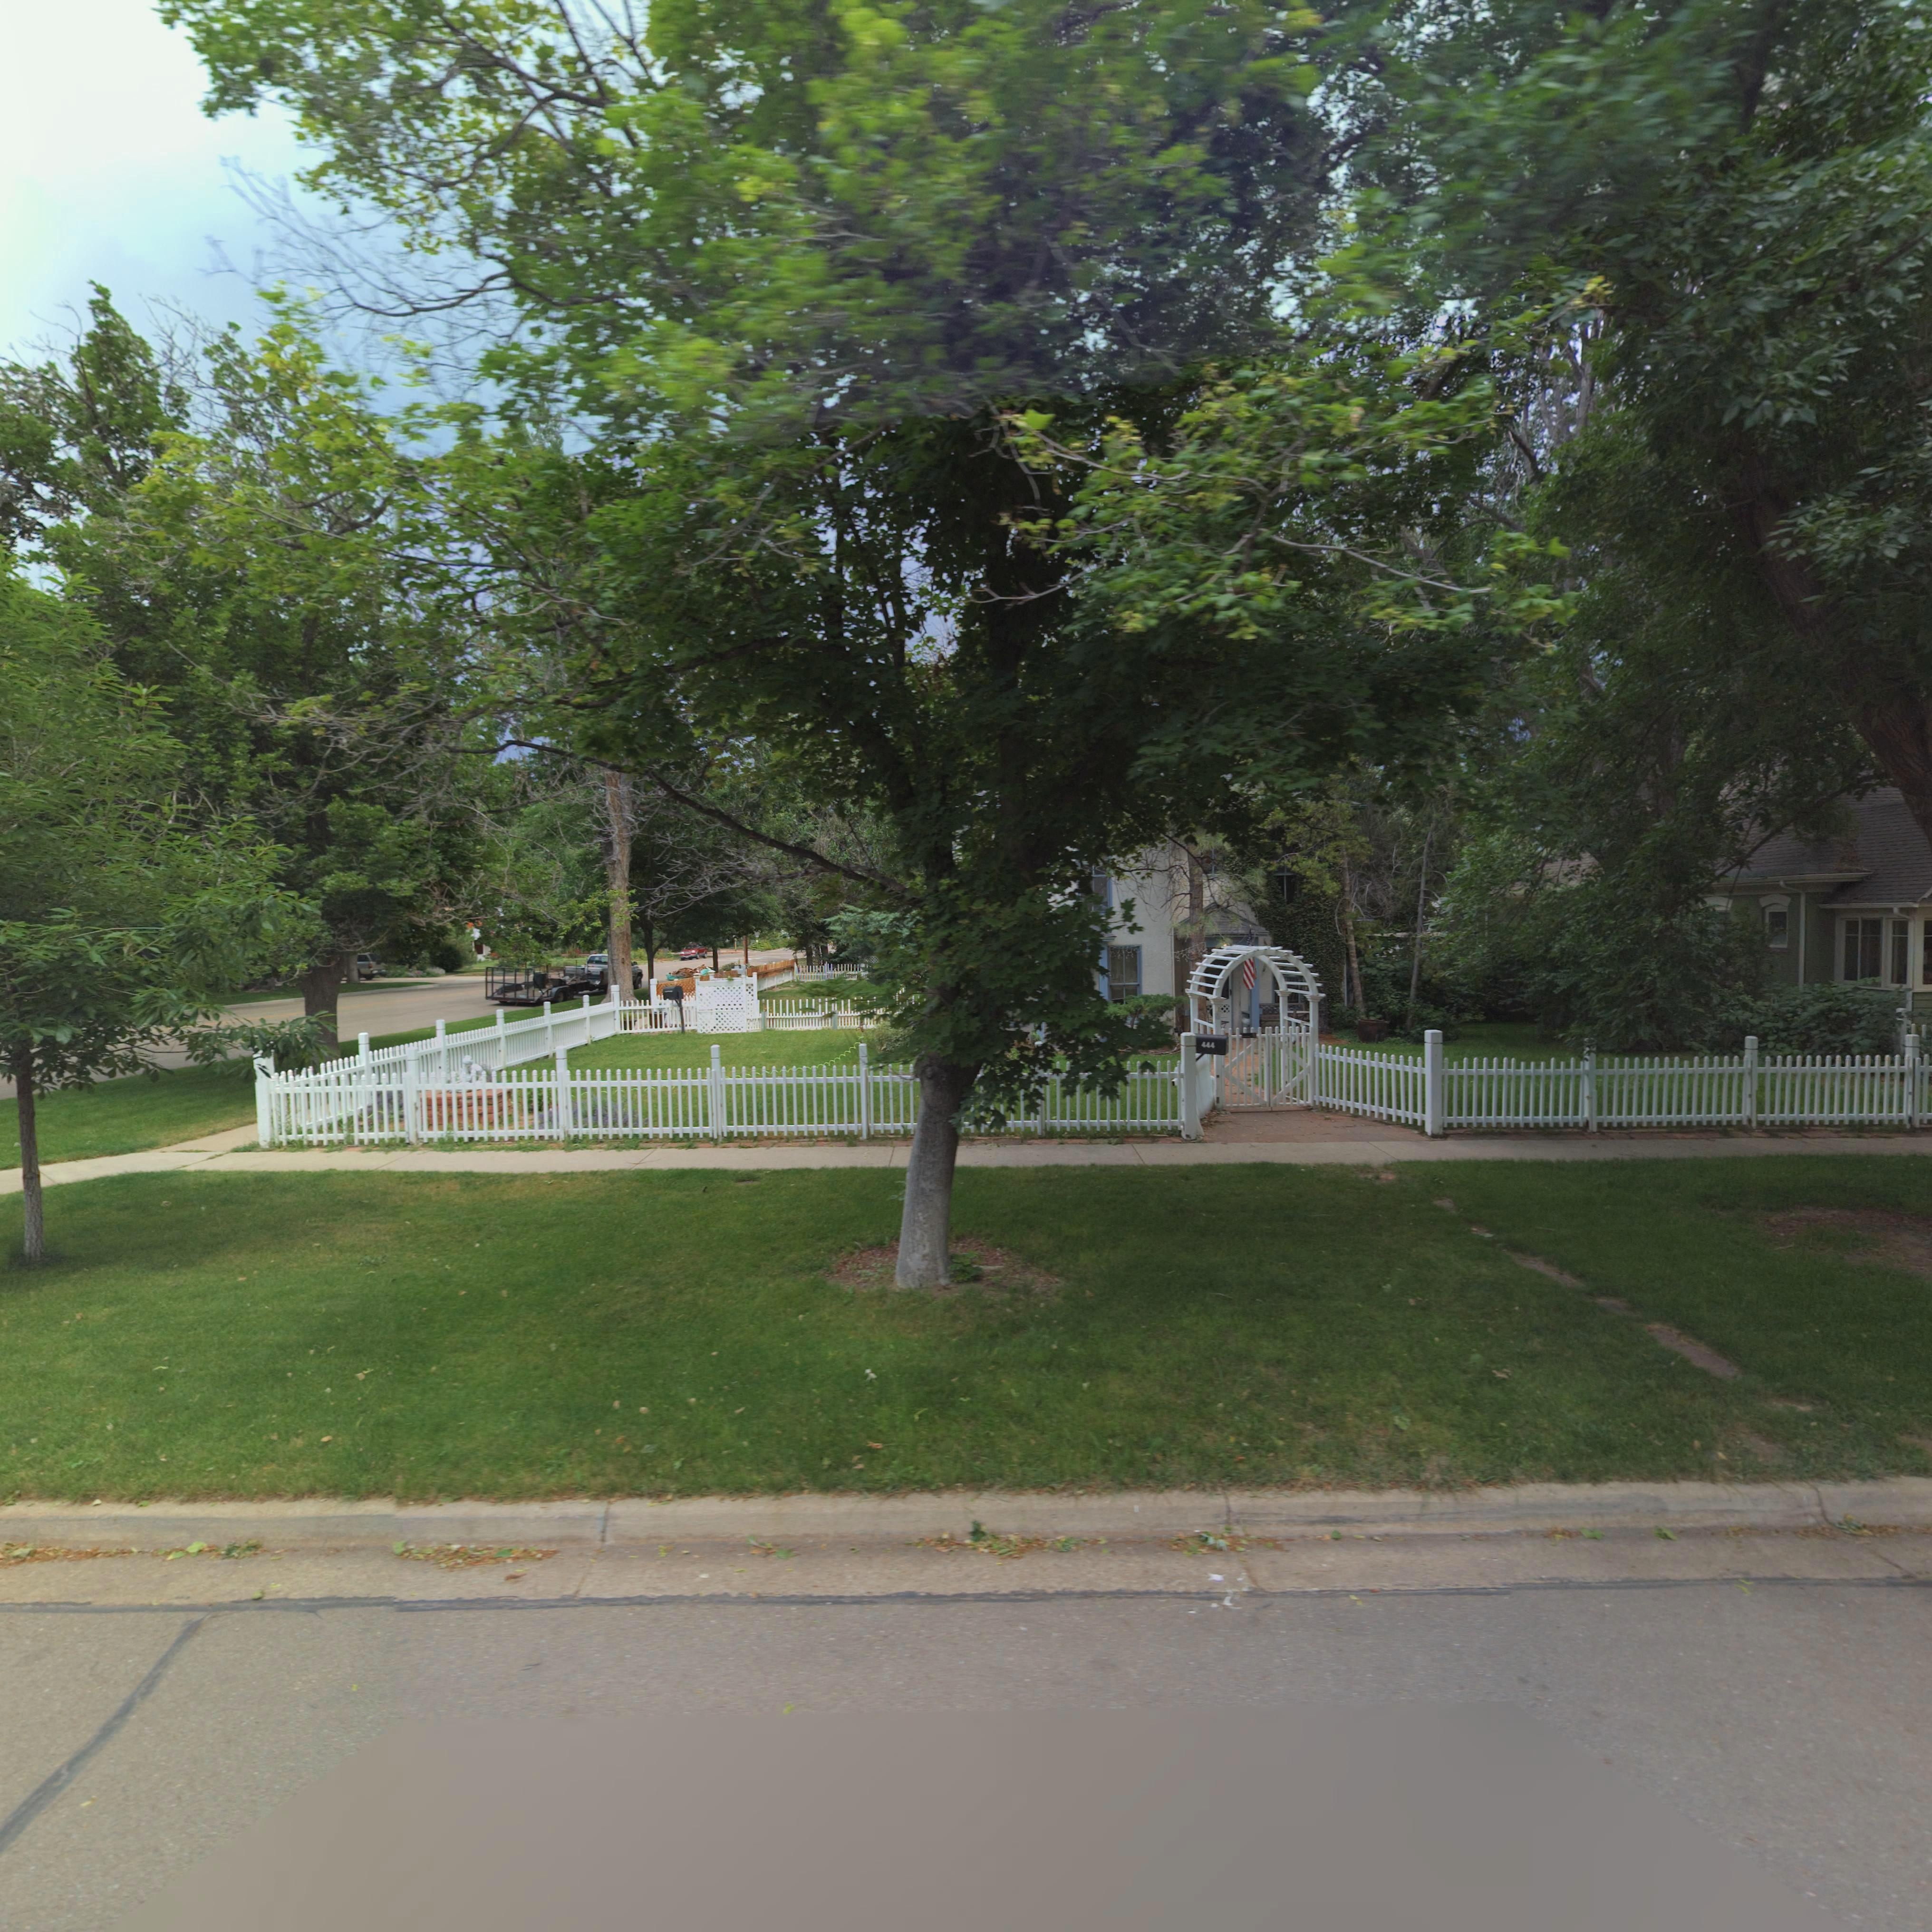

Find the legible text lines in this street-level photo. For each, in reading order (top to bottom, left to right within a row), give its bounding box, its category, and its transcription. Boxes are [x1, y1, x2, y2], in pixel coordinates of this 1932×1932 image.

[1200, 1041, 1215, 1048] StreetNumber: 444